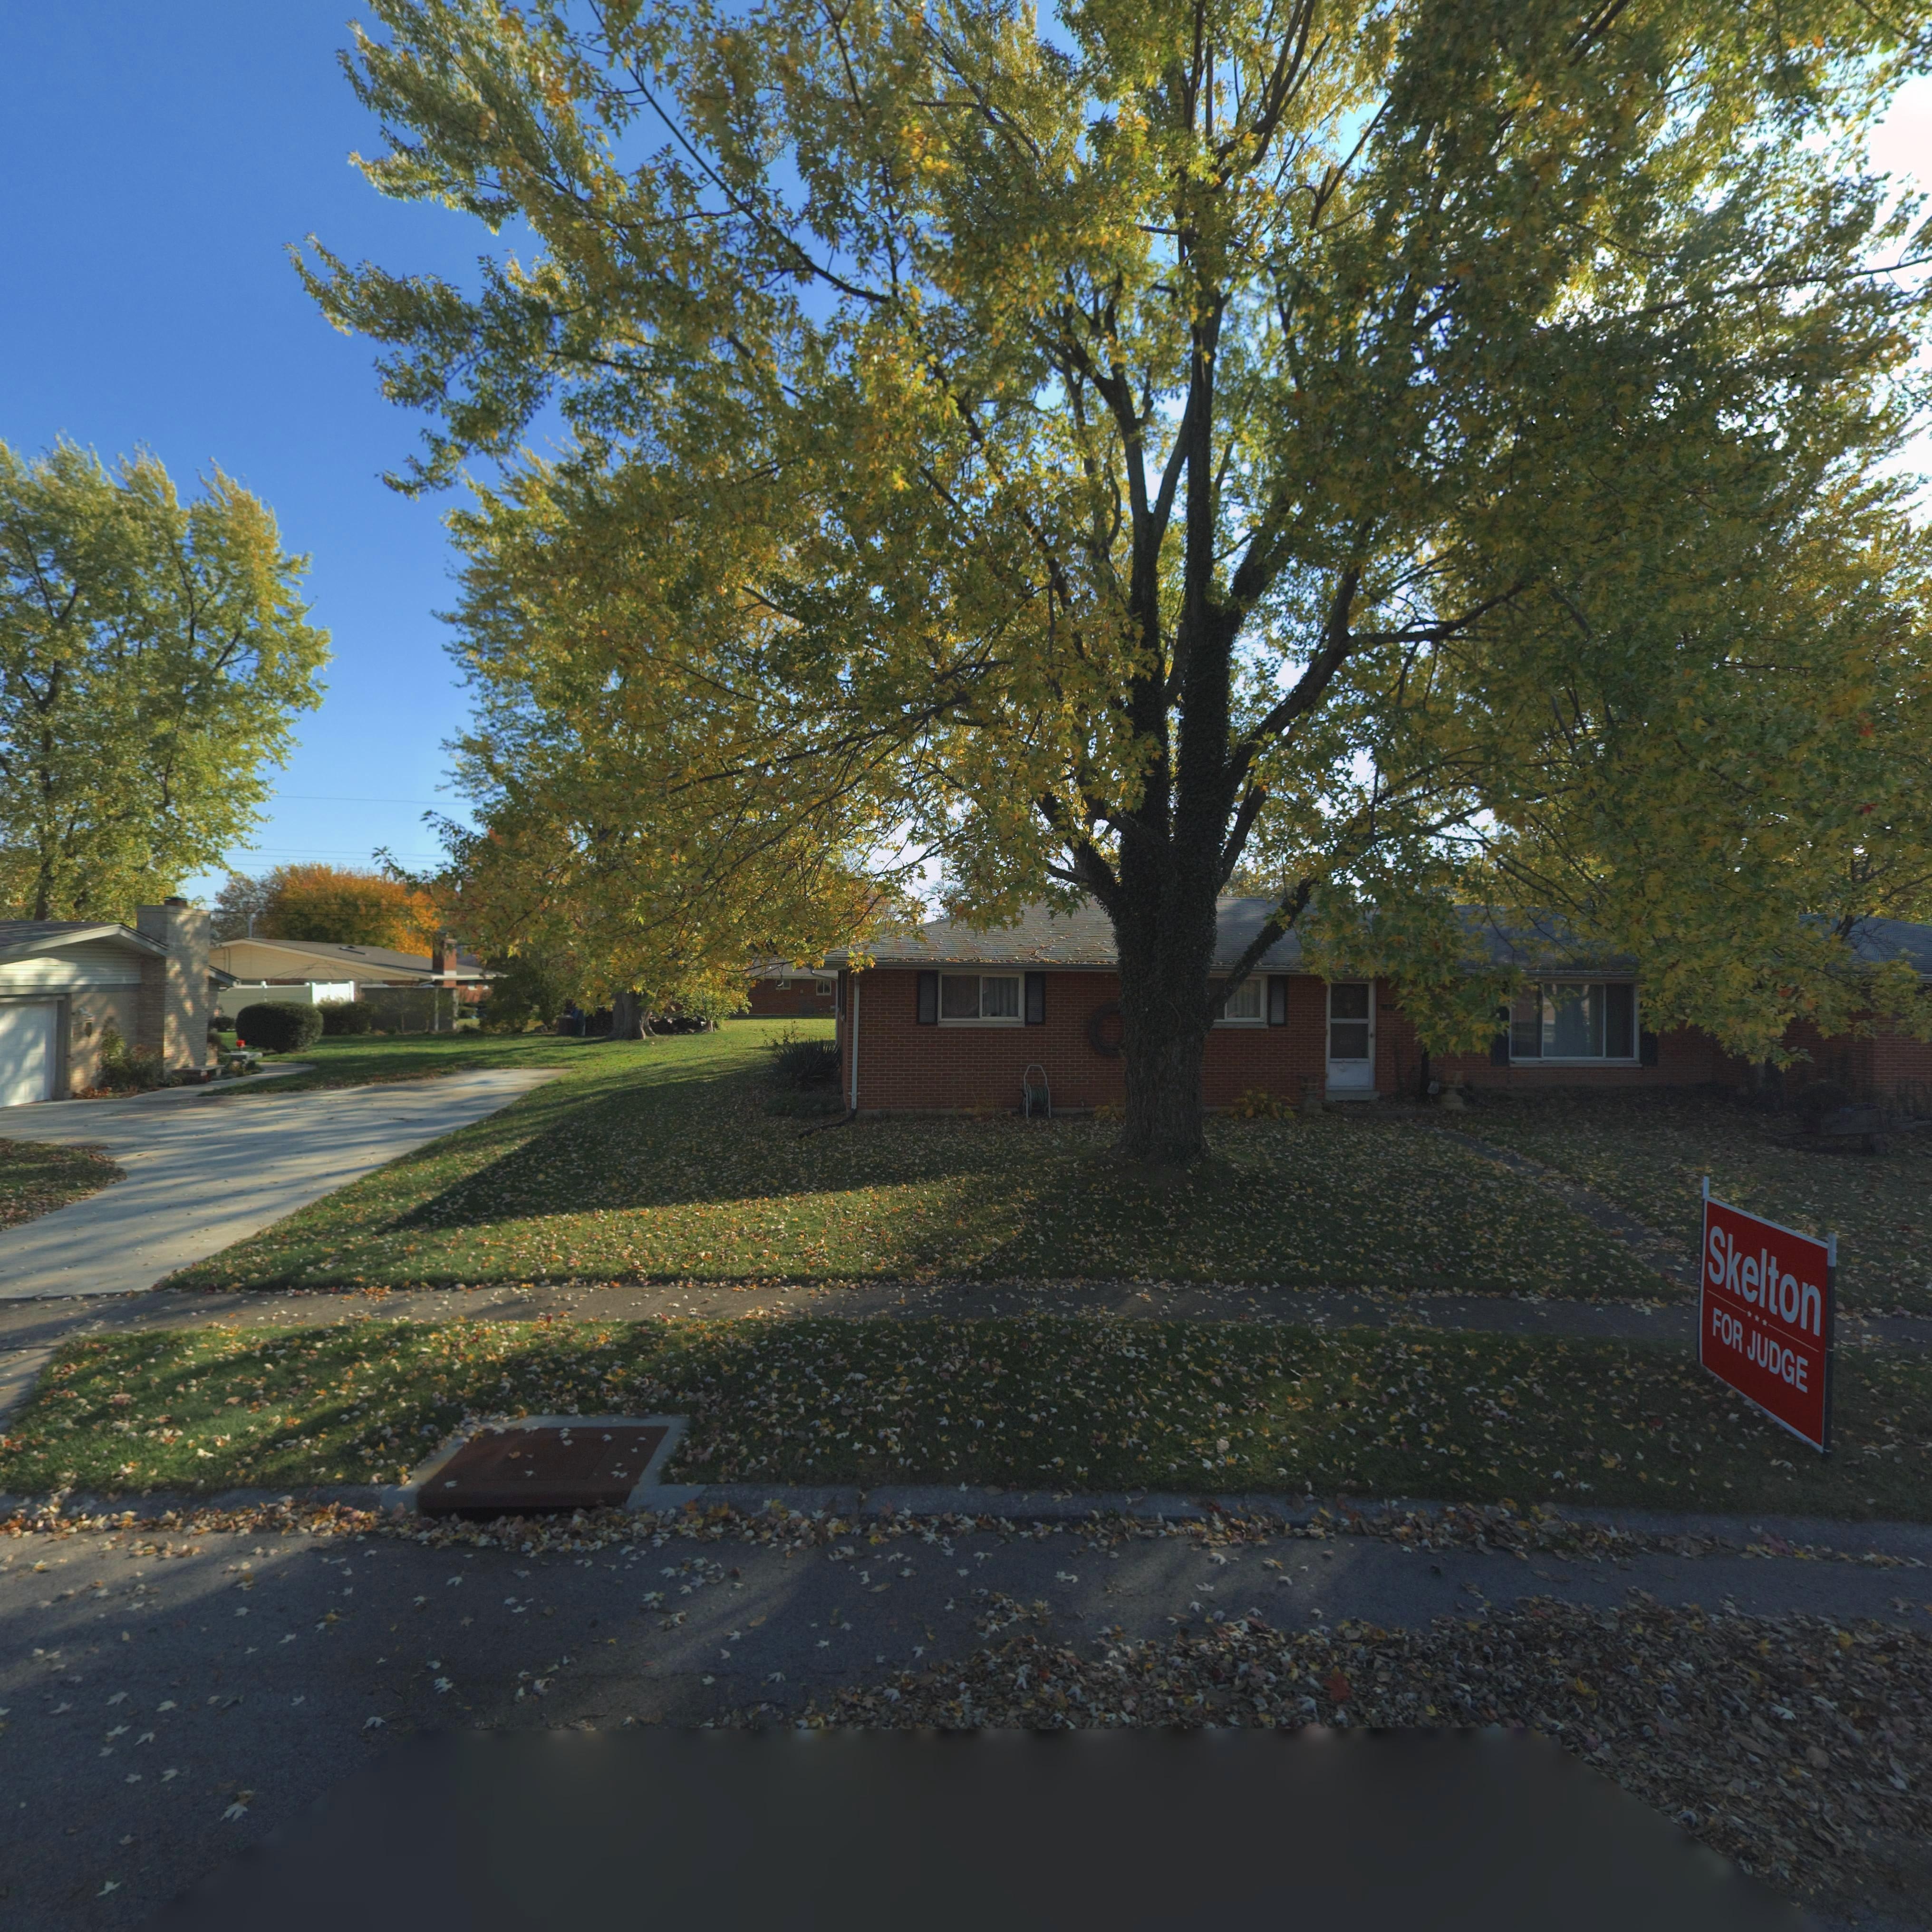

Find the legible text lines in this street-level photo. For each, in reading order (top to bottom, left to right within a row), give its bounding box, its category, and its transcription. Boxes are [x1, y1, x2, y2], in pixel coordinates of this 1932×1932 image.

[1386, 1005, 1402, 1011] StreetNumber: 6**